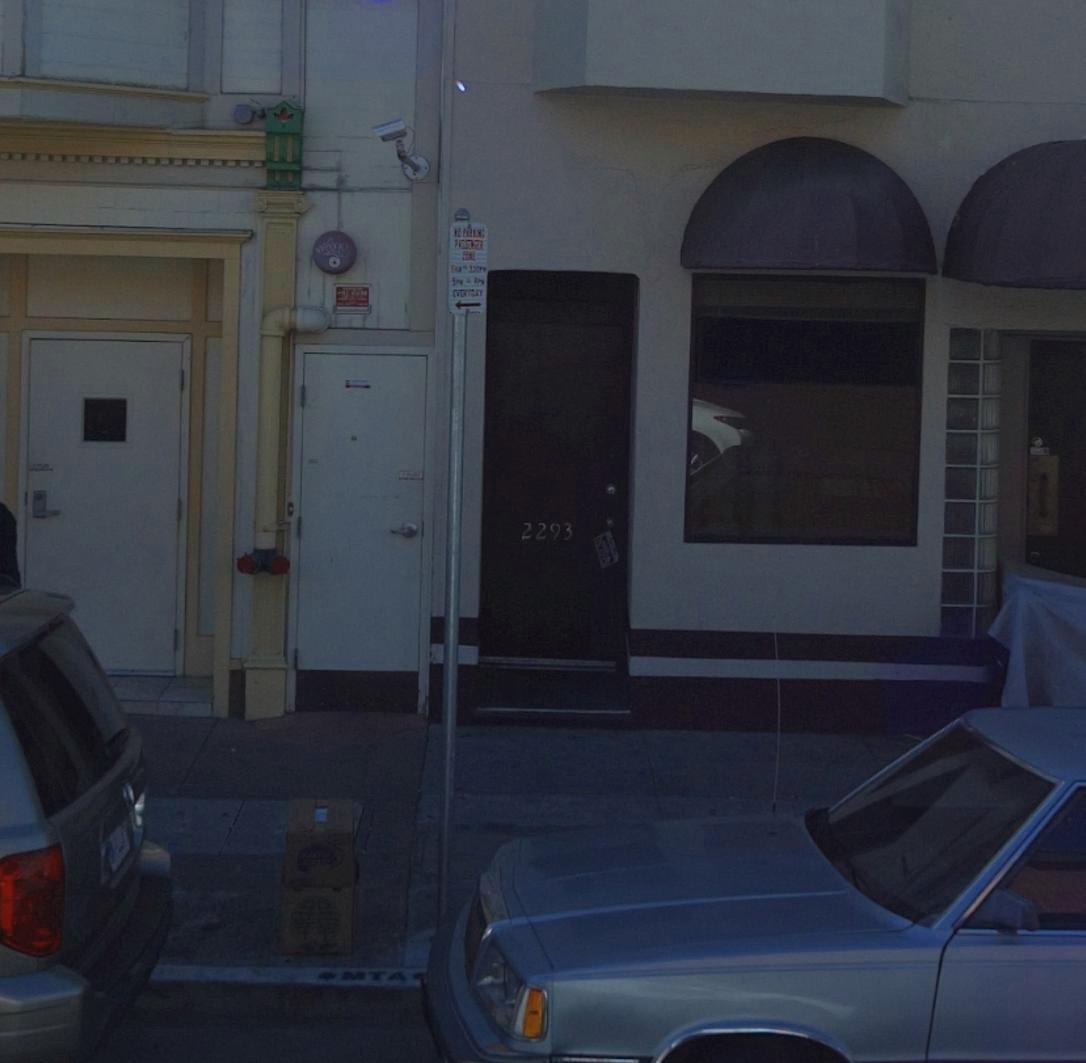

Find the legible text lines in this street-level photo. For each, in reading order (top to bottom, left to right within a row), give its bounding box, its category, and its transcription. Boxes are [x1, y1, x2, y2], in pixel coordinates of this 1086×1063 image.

[453, 227, 485, 238] None: NO PARKING
[454, 238, 484, 252] None: PASSENGER
[460, 251, 476, 262] None: ZONE
[452, 288, 484, 299] None: EVERYDAY
[519, 521, 573, 542] StreetNumber: 2293